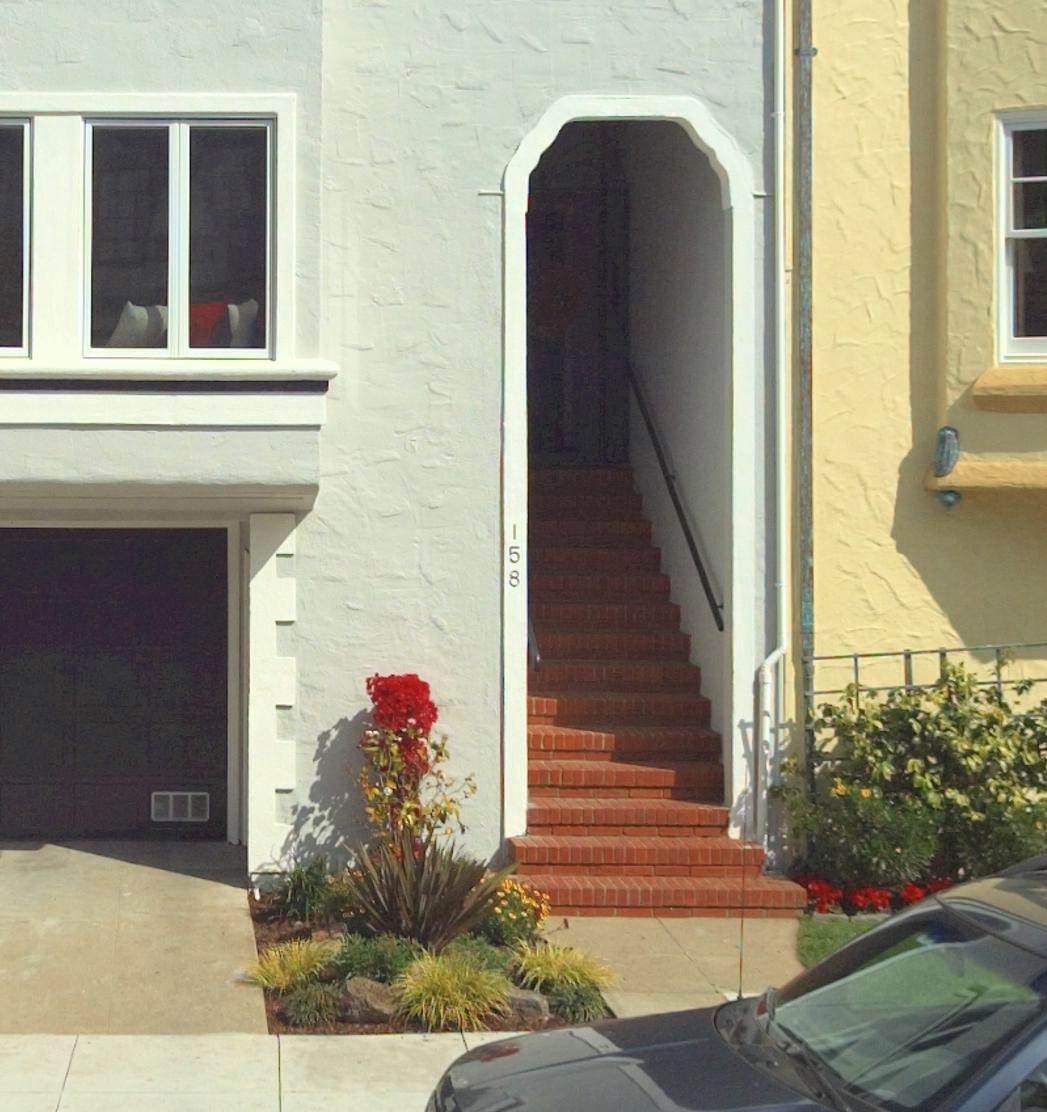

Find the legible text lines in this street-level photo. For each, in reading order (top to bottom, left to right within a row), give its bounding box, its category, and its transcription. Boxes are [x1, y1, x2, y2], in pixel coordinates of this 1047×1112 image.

[507, 521, 522, 590] StreetNumber: 158